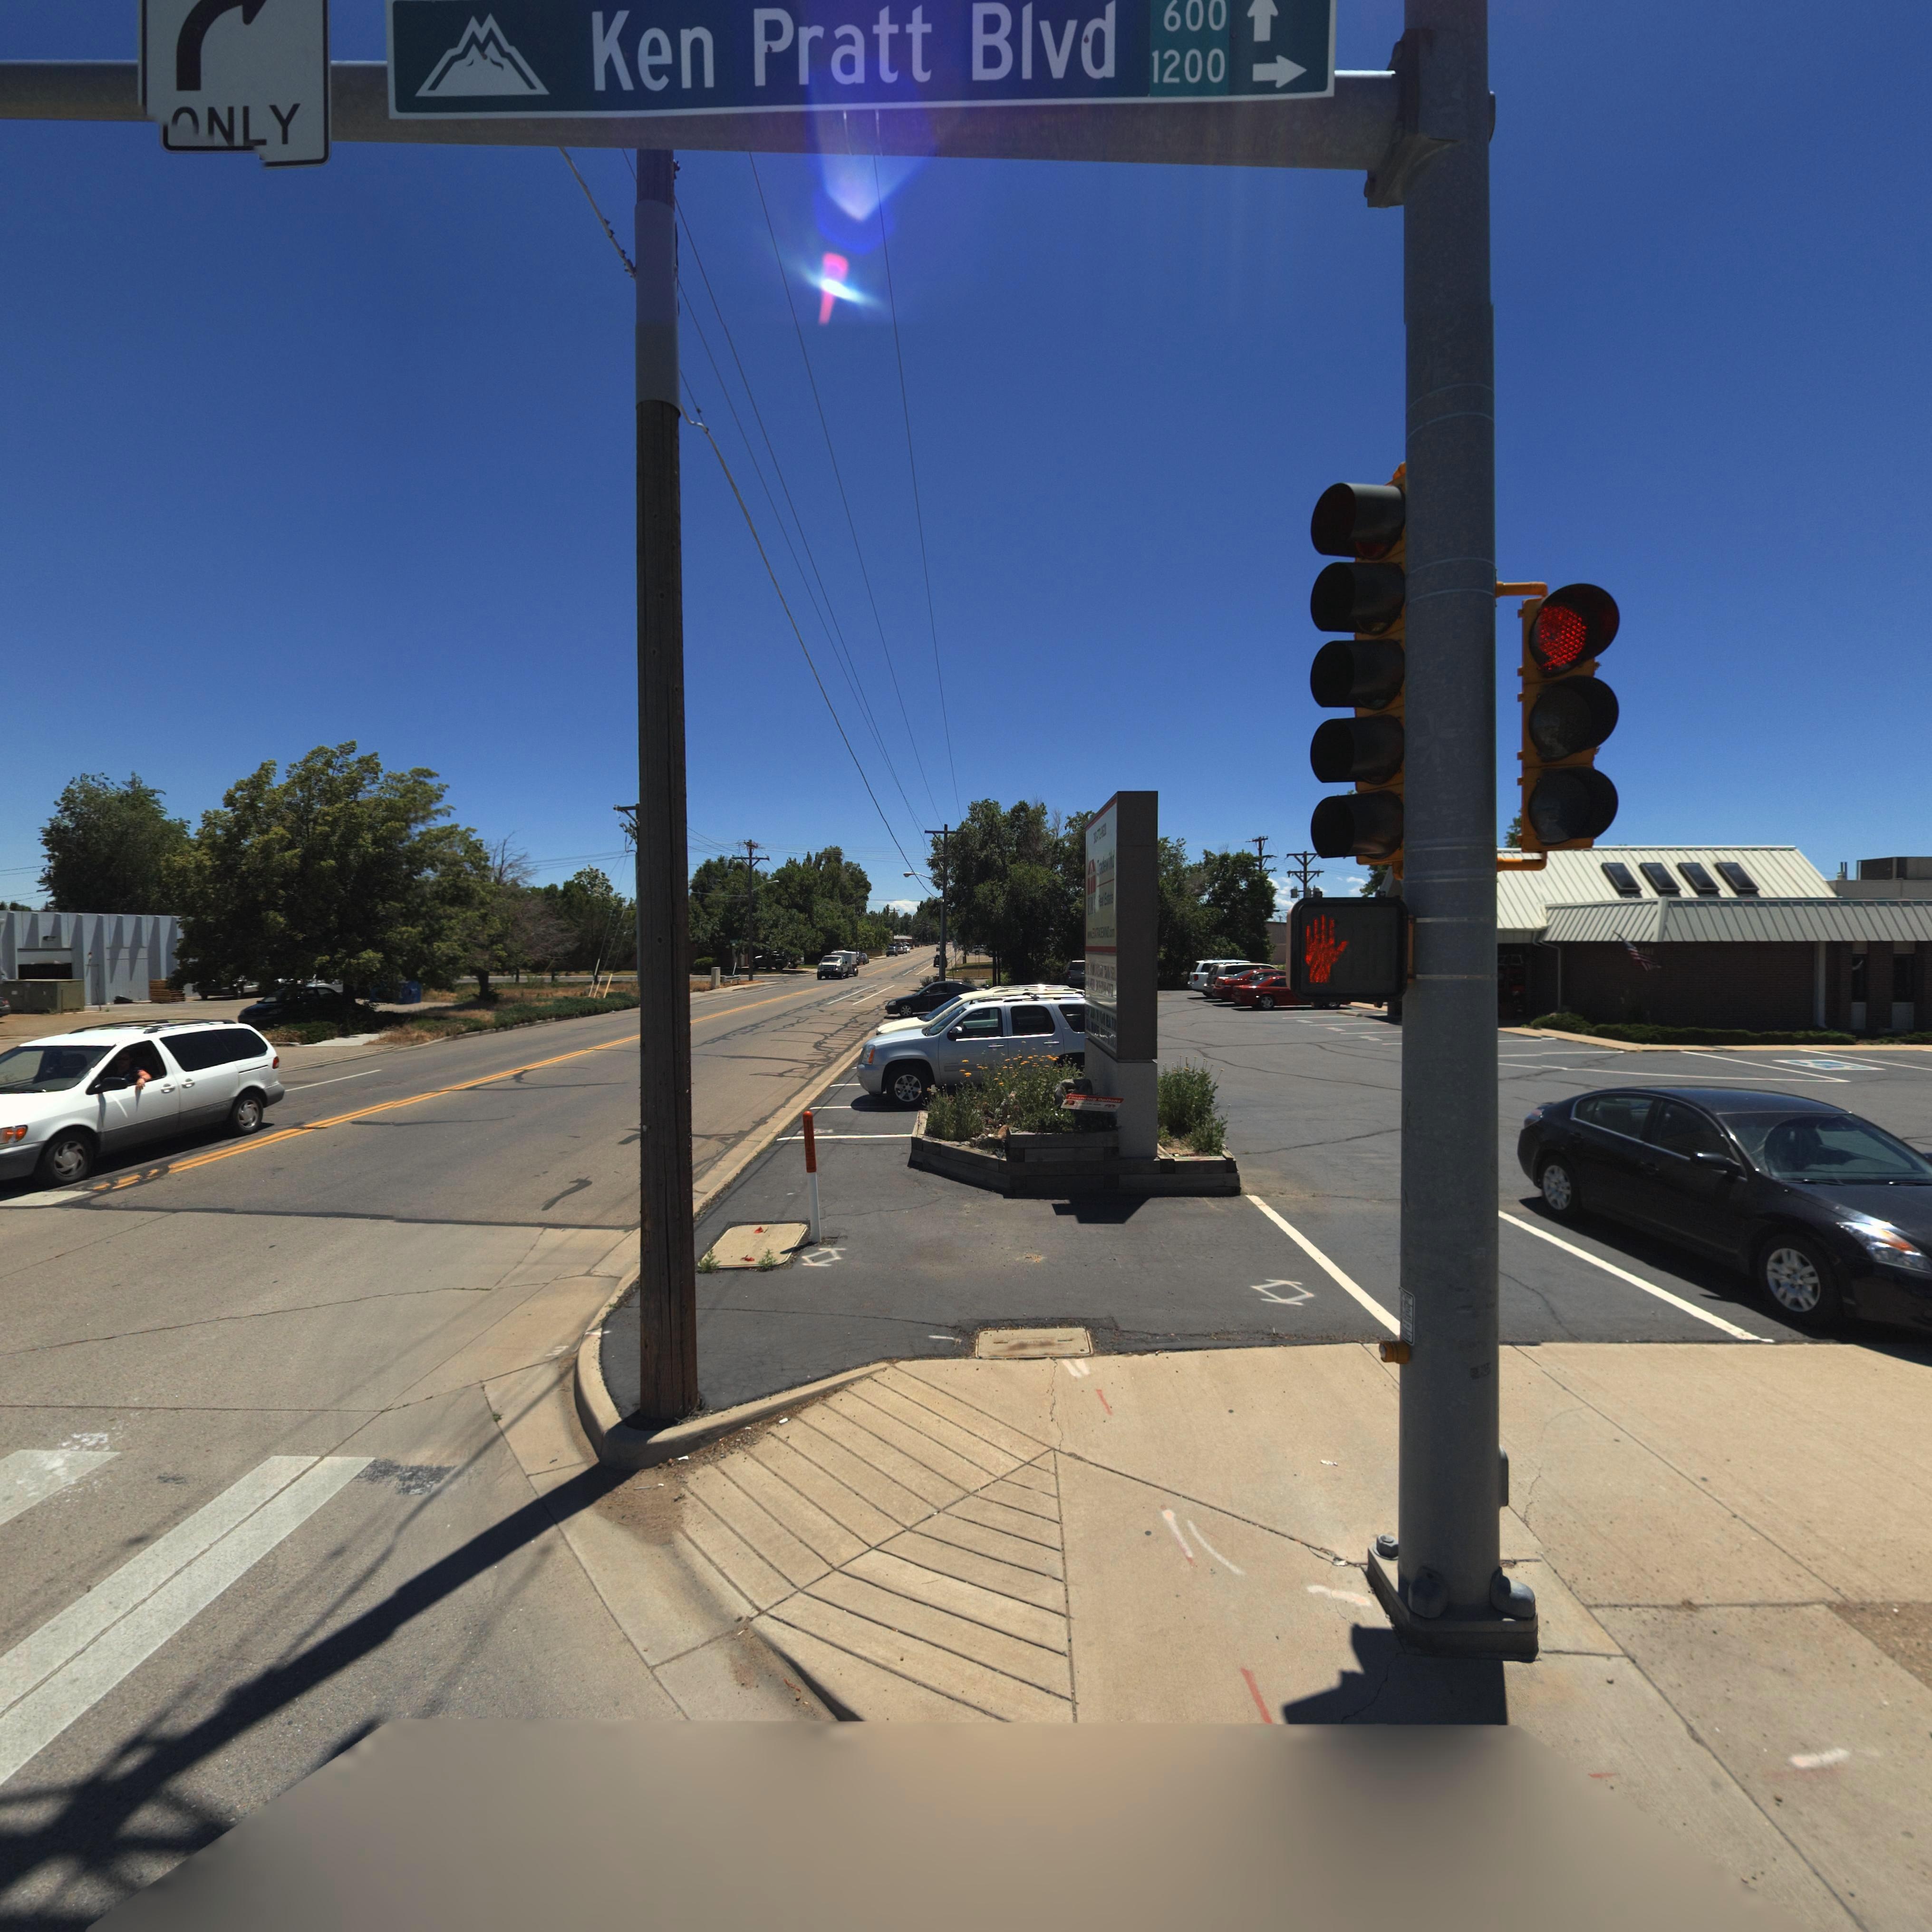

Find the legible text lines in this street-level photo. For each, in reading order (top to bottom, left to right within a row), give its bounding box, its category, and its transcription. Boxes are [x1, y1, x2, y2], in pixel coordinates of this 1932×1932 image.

[590, 1, 1078, 91] StreetName: Ken Pratt Blv
[1150, 47, 1309, 89] StreetNumberRange: 1200->
[1096, 848, 1114, 877] BusinessName: Tradwind
[1098, 891, 1114, 907] BusinessName: Real Estate
[1639, 946, 1655, 956] StreetNumber: *01